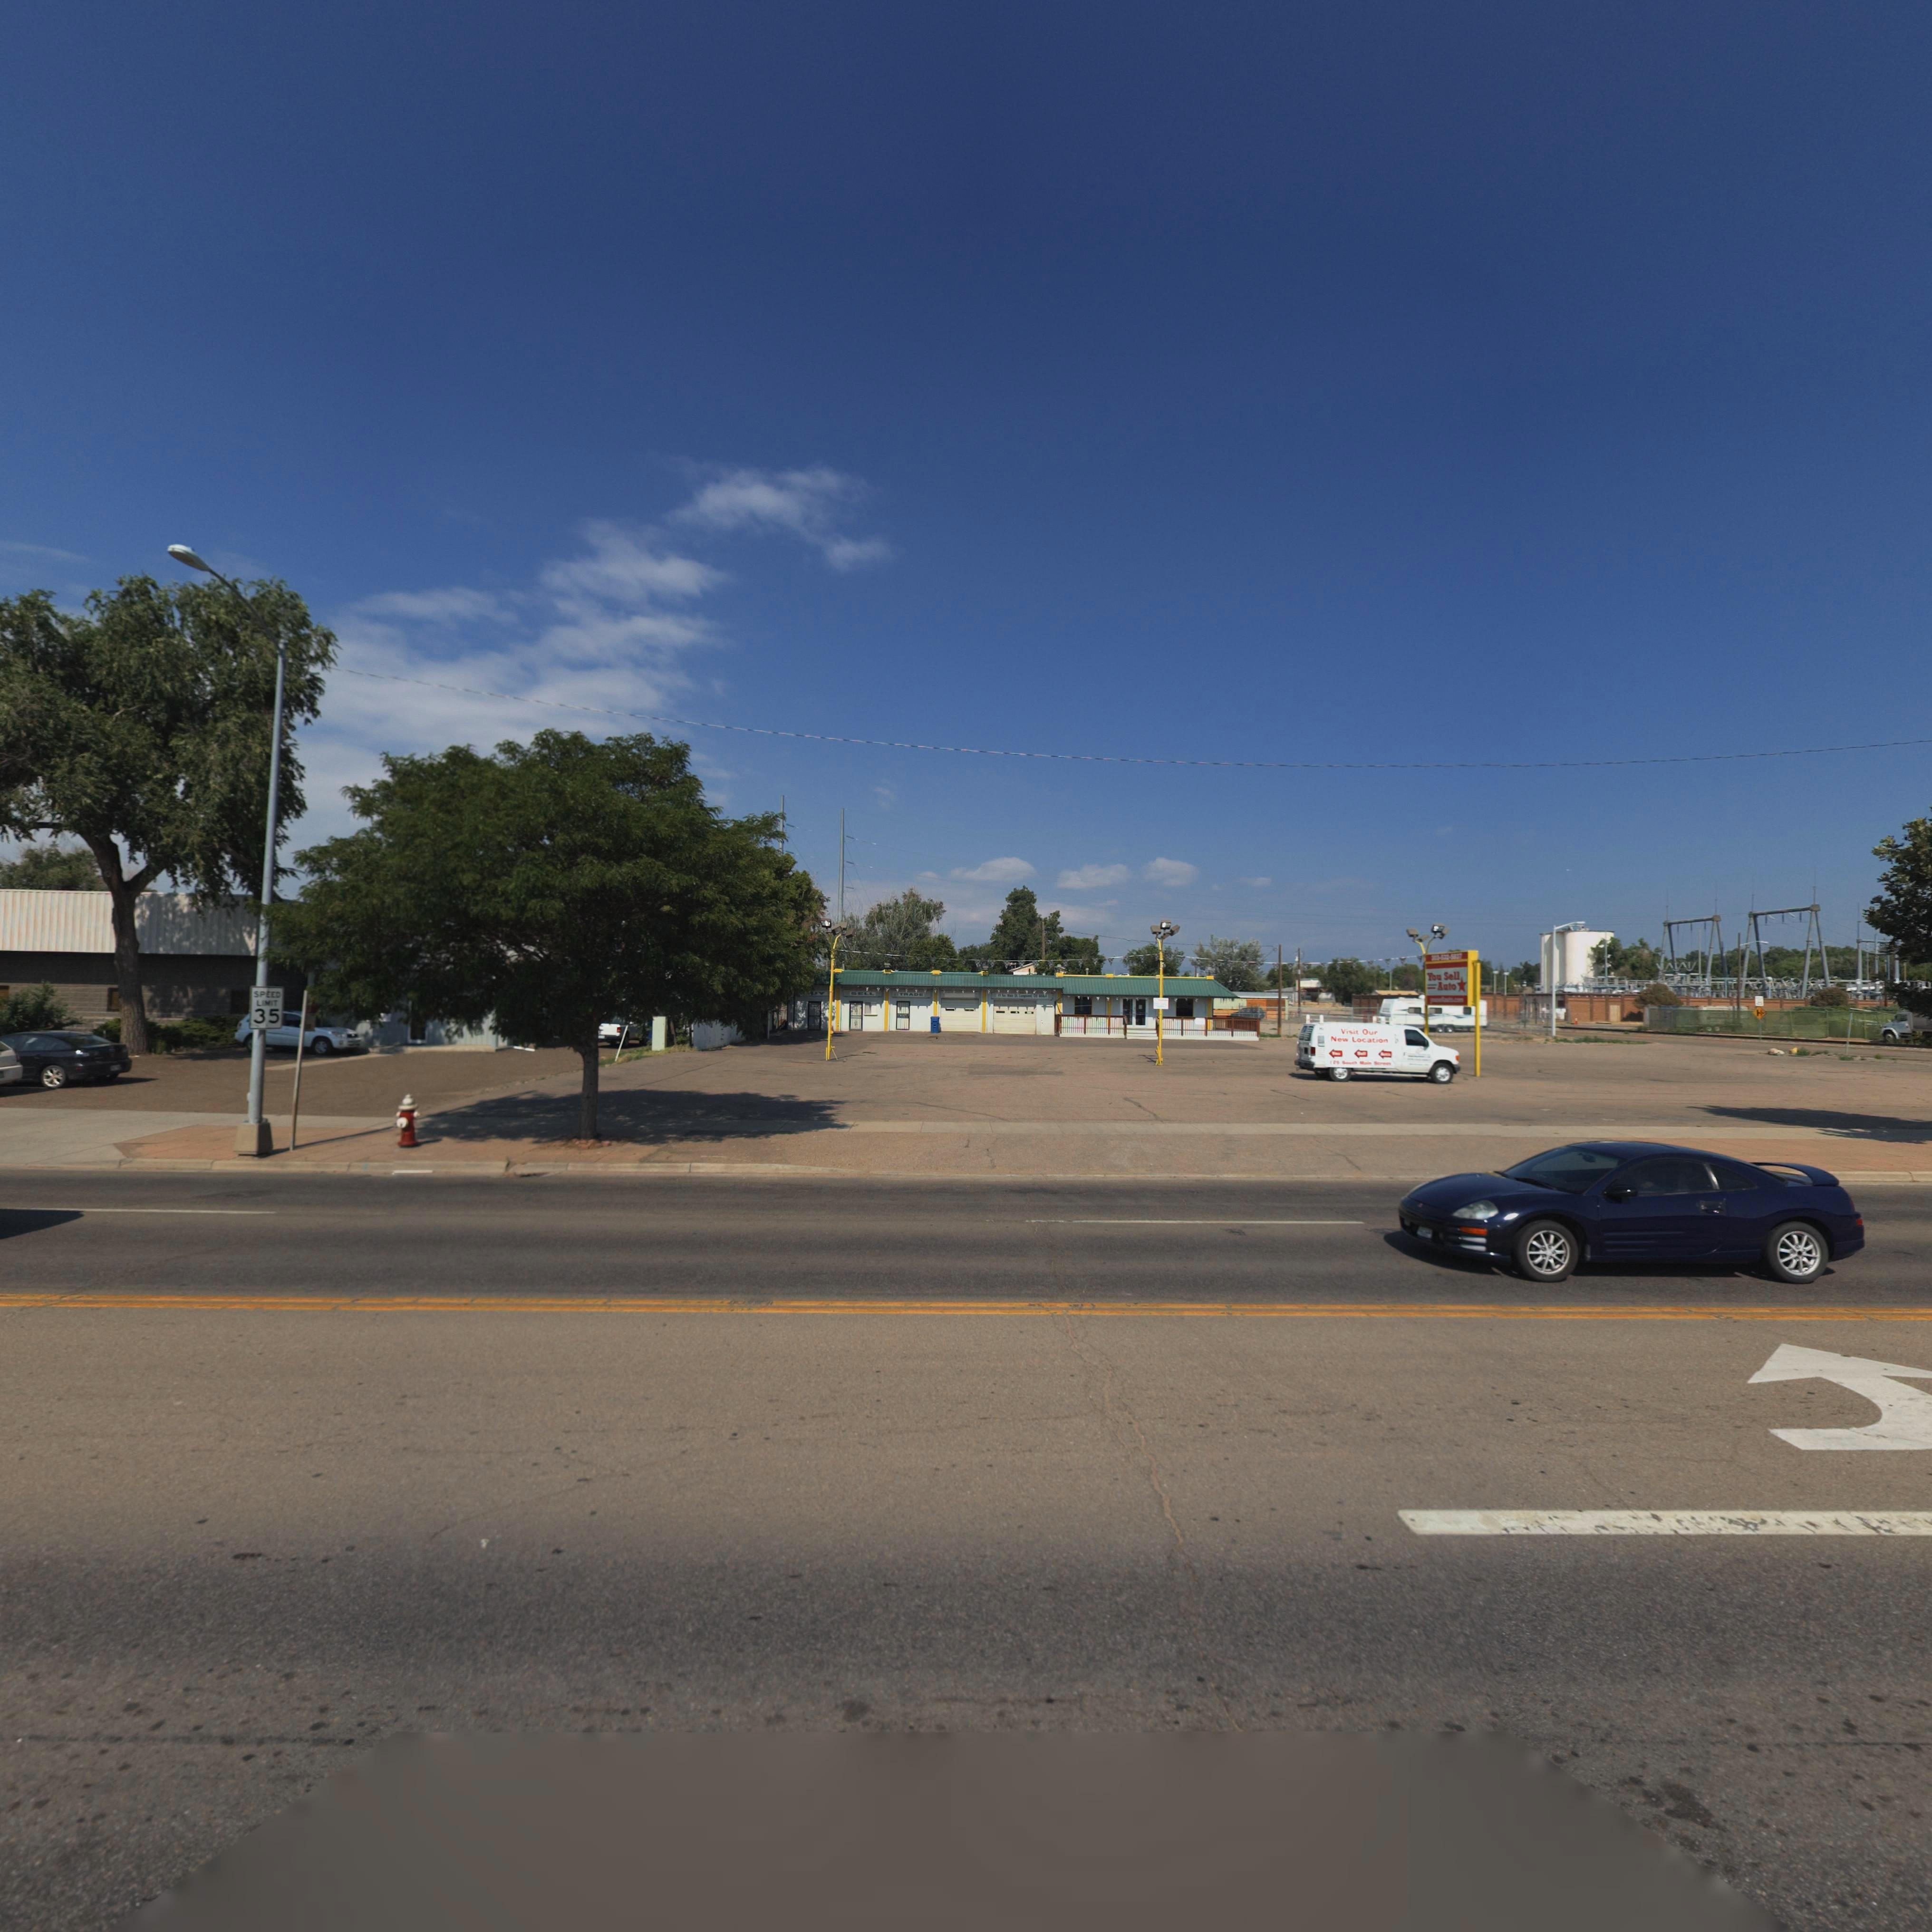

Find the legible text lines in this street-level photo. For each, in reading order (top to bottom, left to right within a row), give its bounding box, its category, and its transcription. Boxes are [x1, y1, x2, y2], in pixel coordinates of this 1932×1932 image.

[1426, 972, 1459, 981] BusinessName: You Sell
[1437, 982, 1457, 991] BusinessName: Auto
[998, 994, 1001, 996] StreetNumber: *9
[1002, 993, 1018, 997] StreetName: So. *ain St.